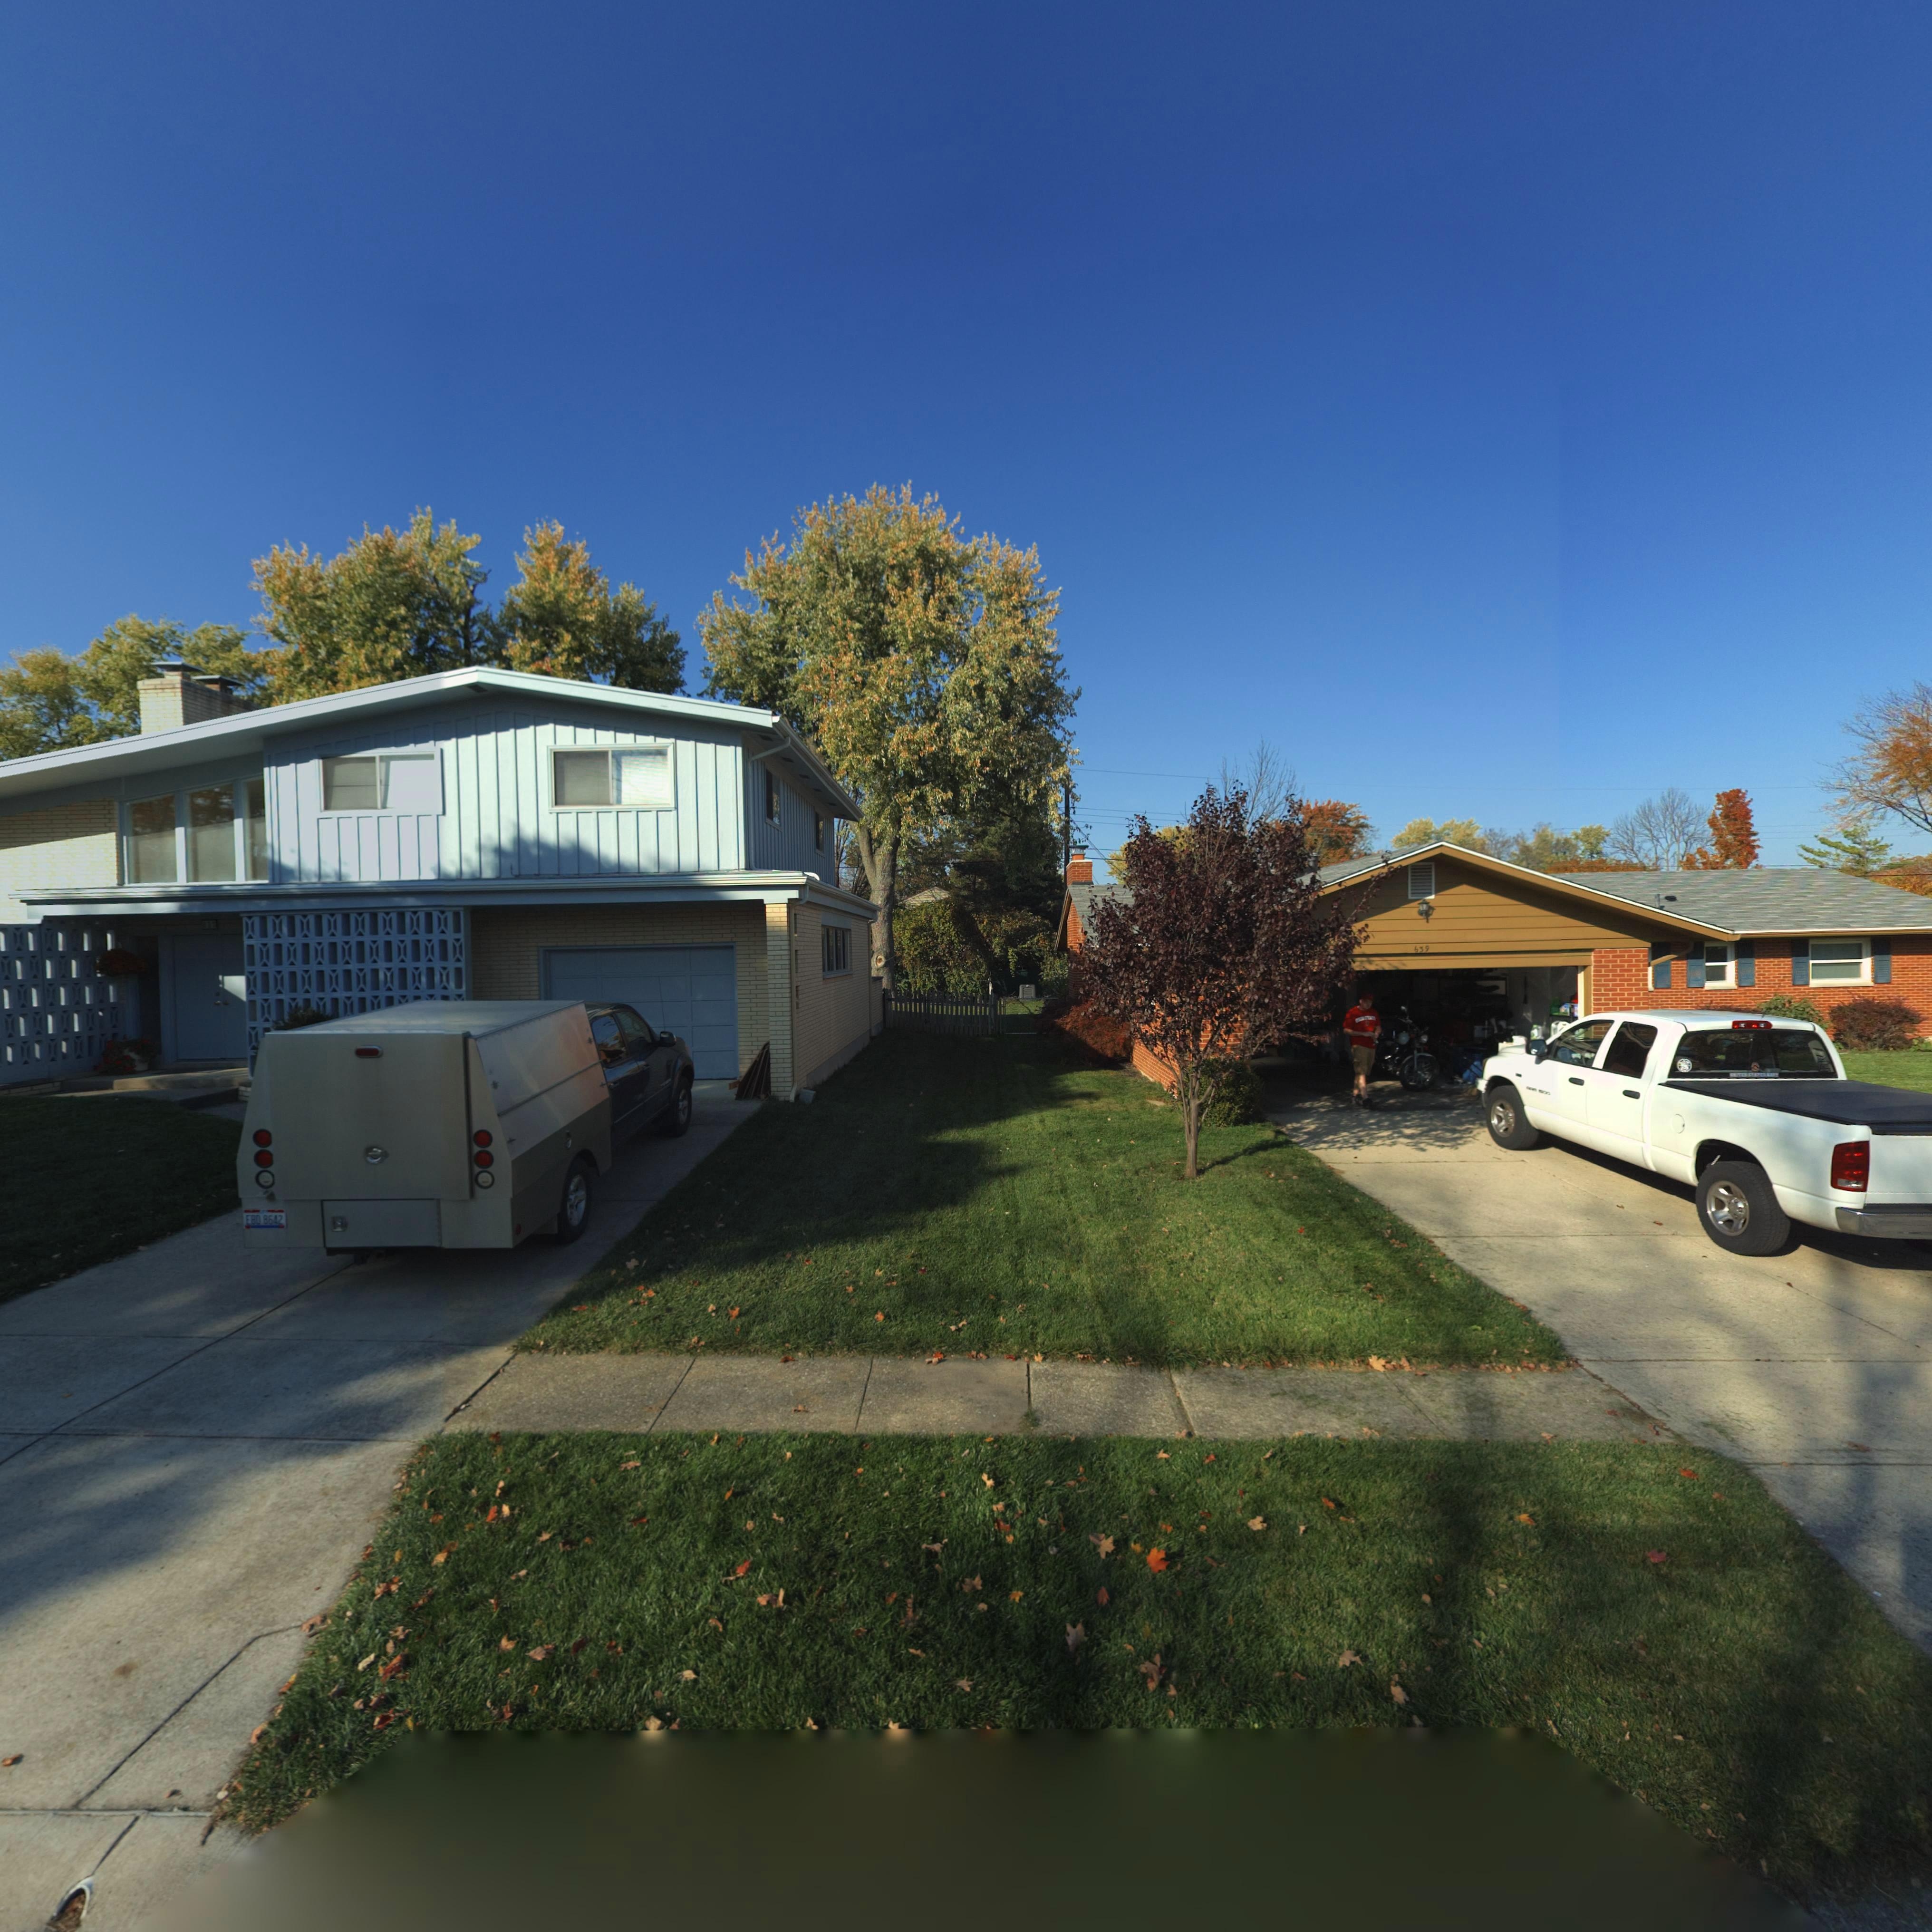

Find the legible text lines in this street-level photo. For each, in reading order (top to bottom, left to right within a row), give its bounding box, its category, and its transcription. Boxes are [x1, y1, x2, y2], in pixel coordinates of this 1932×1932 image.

[202, 921, 215, 928] StreetNumber: **5
[1414, 945, 1429, 953] StreetNumber: 639